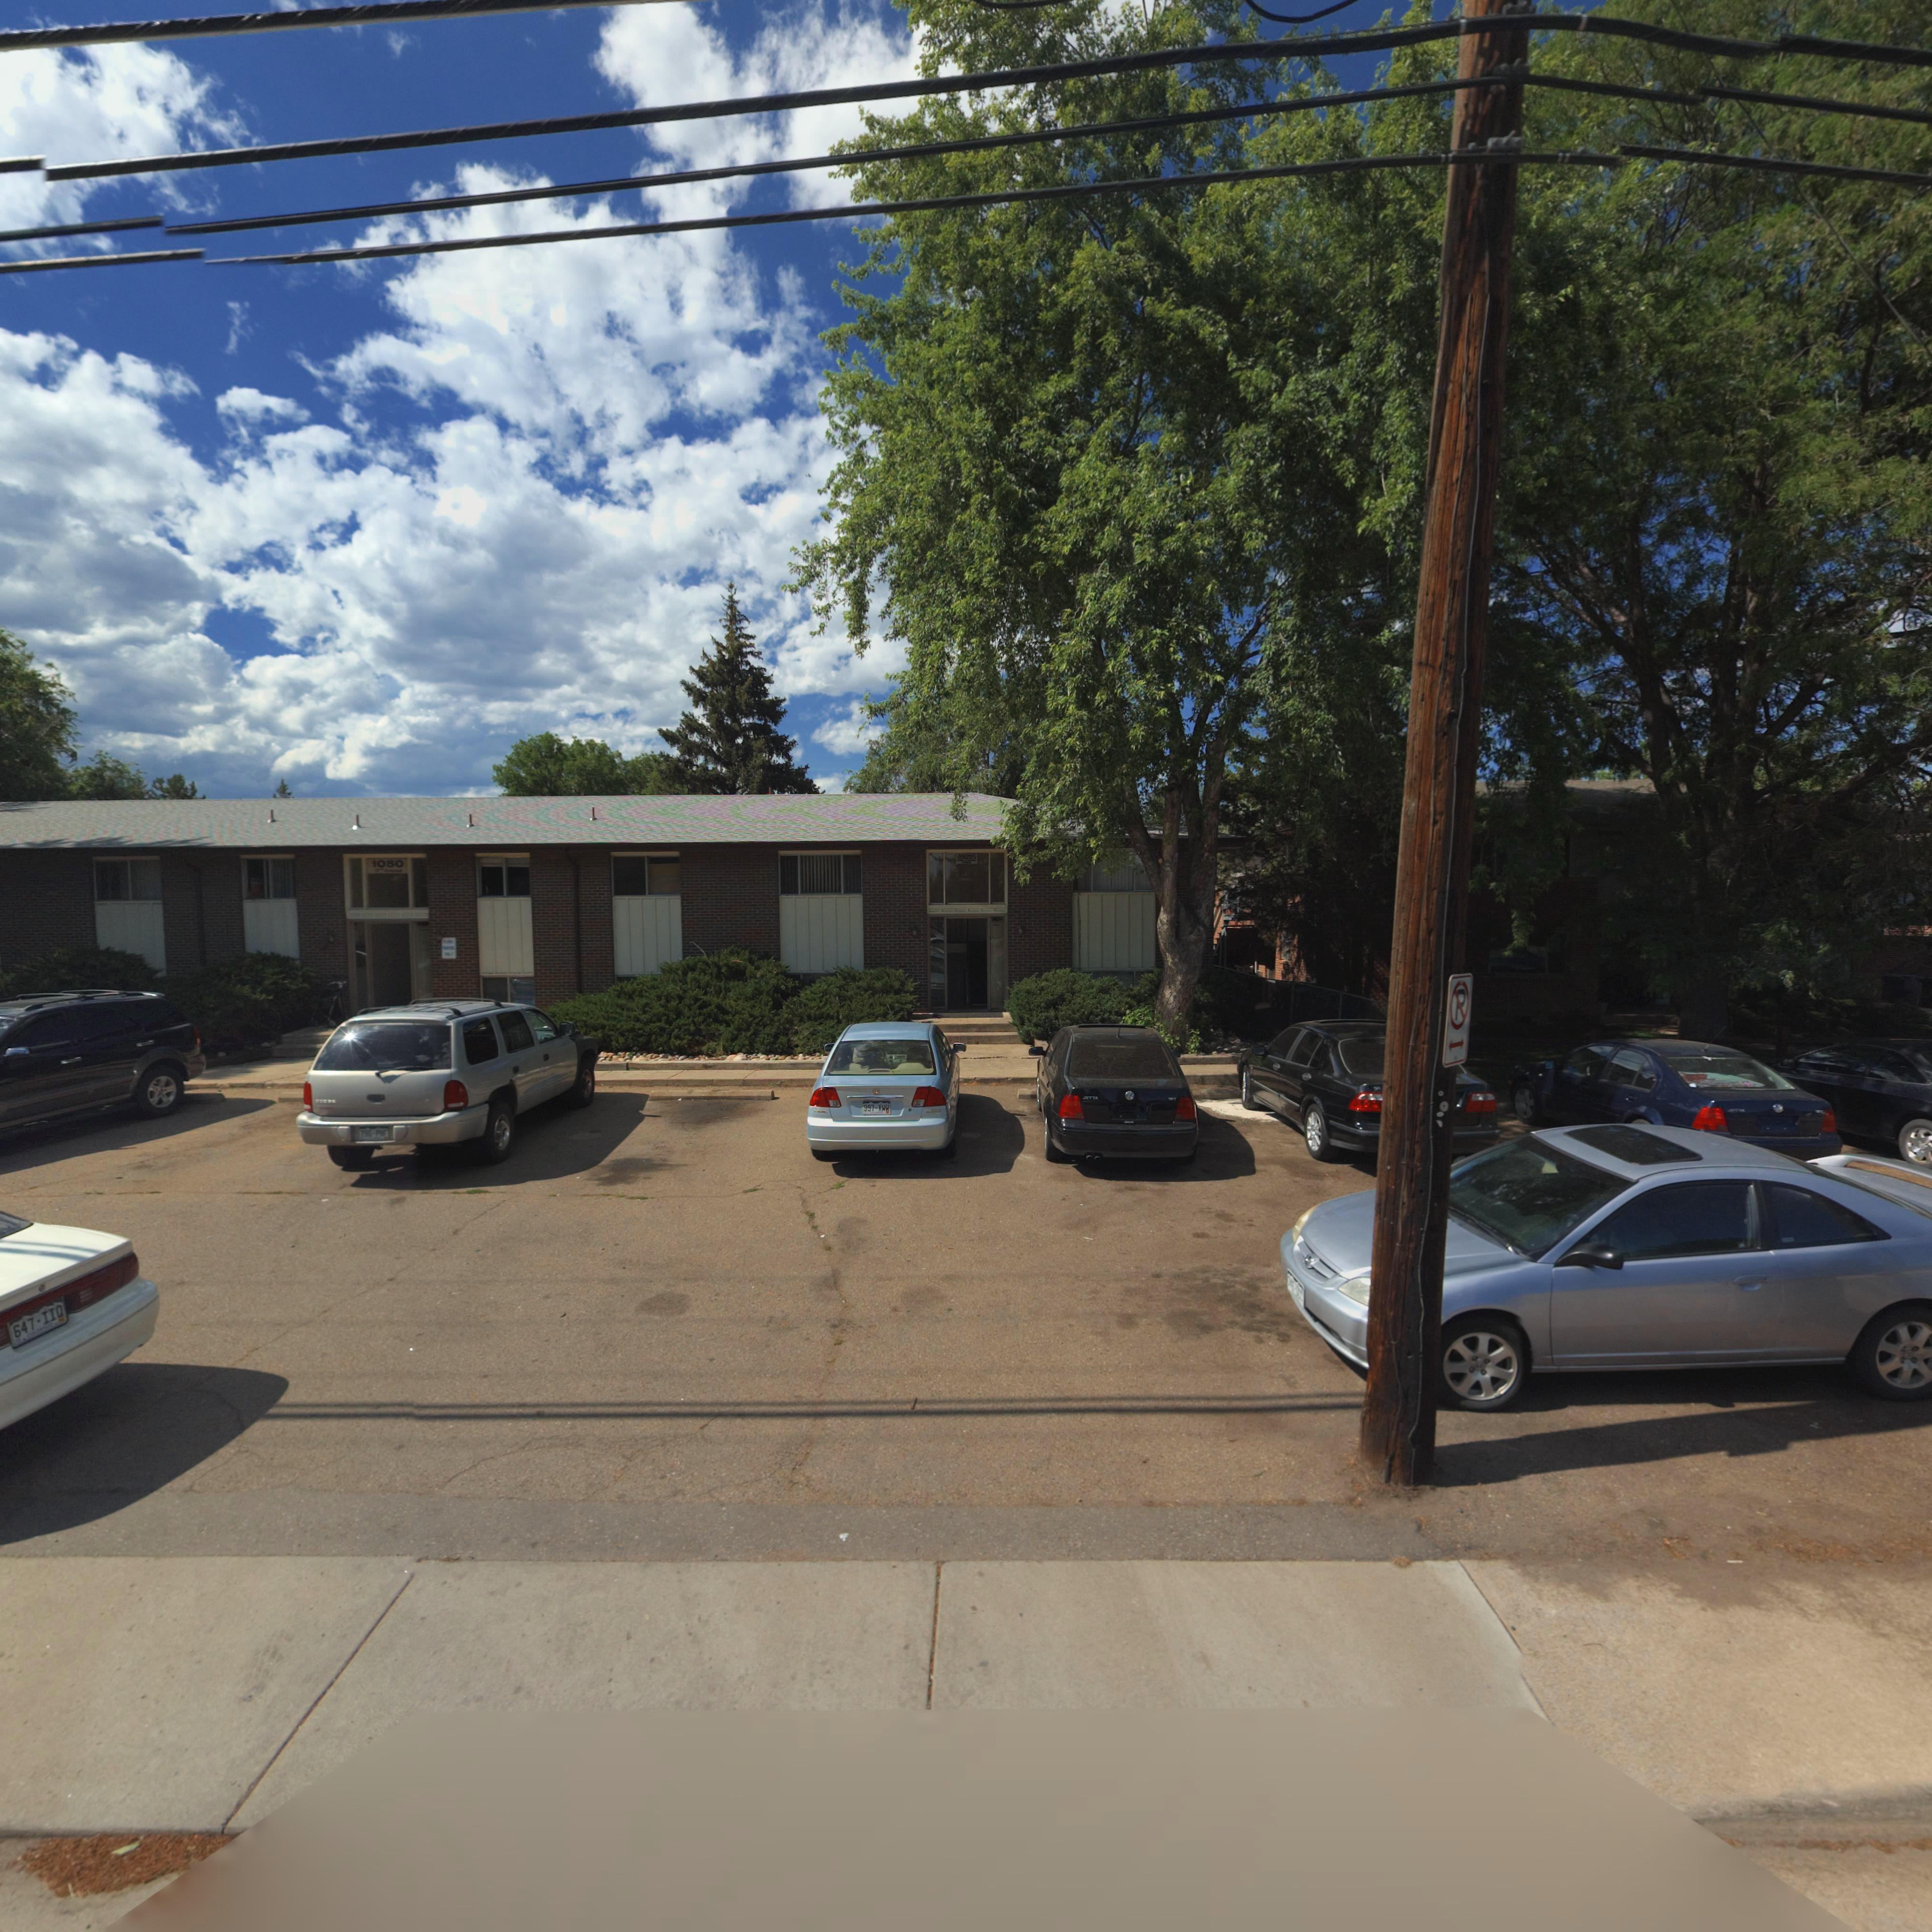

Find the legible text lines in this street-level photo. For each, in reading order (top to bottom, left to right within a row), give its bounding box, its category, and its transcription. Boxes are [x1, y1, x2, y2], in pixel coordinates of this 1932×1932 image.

[371, 860, 404, 868] StreetNumber: 1050
[374, 868, 403, 873] StreetName: 17th Avenue